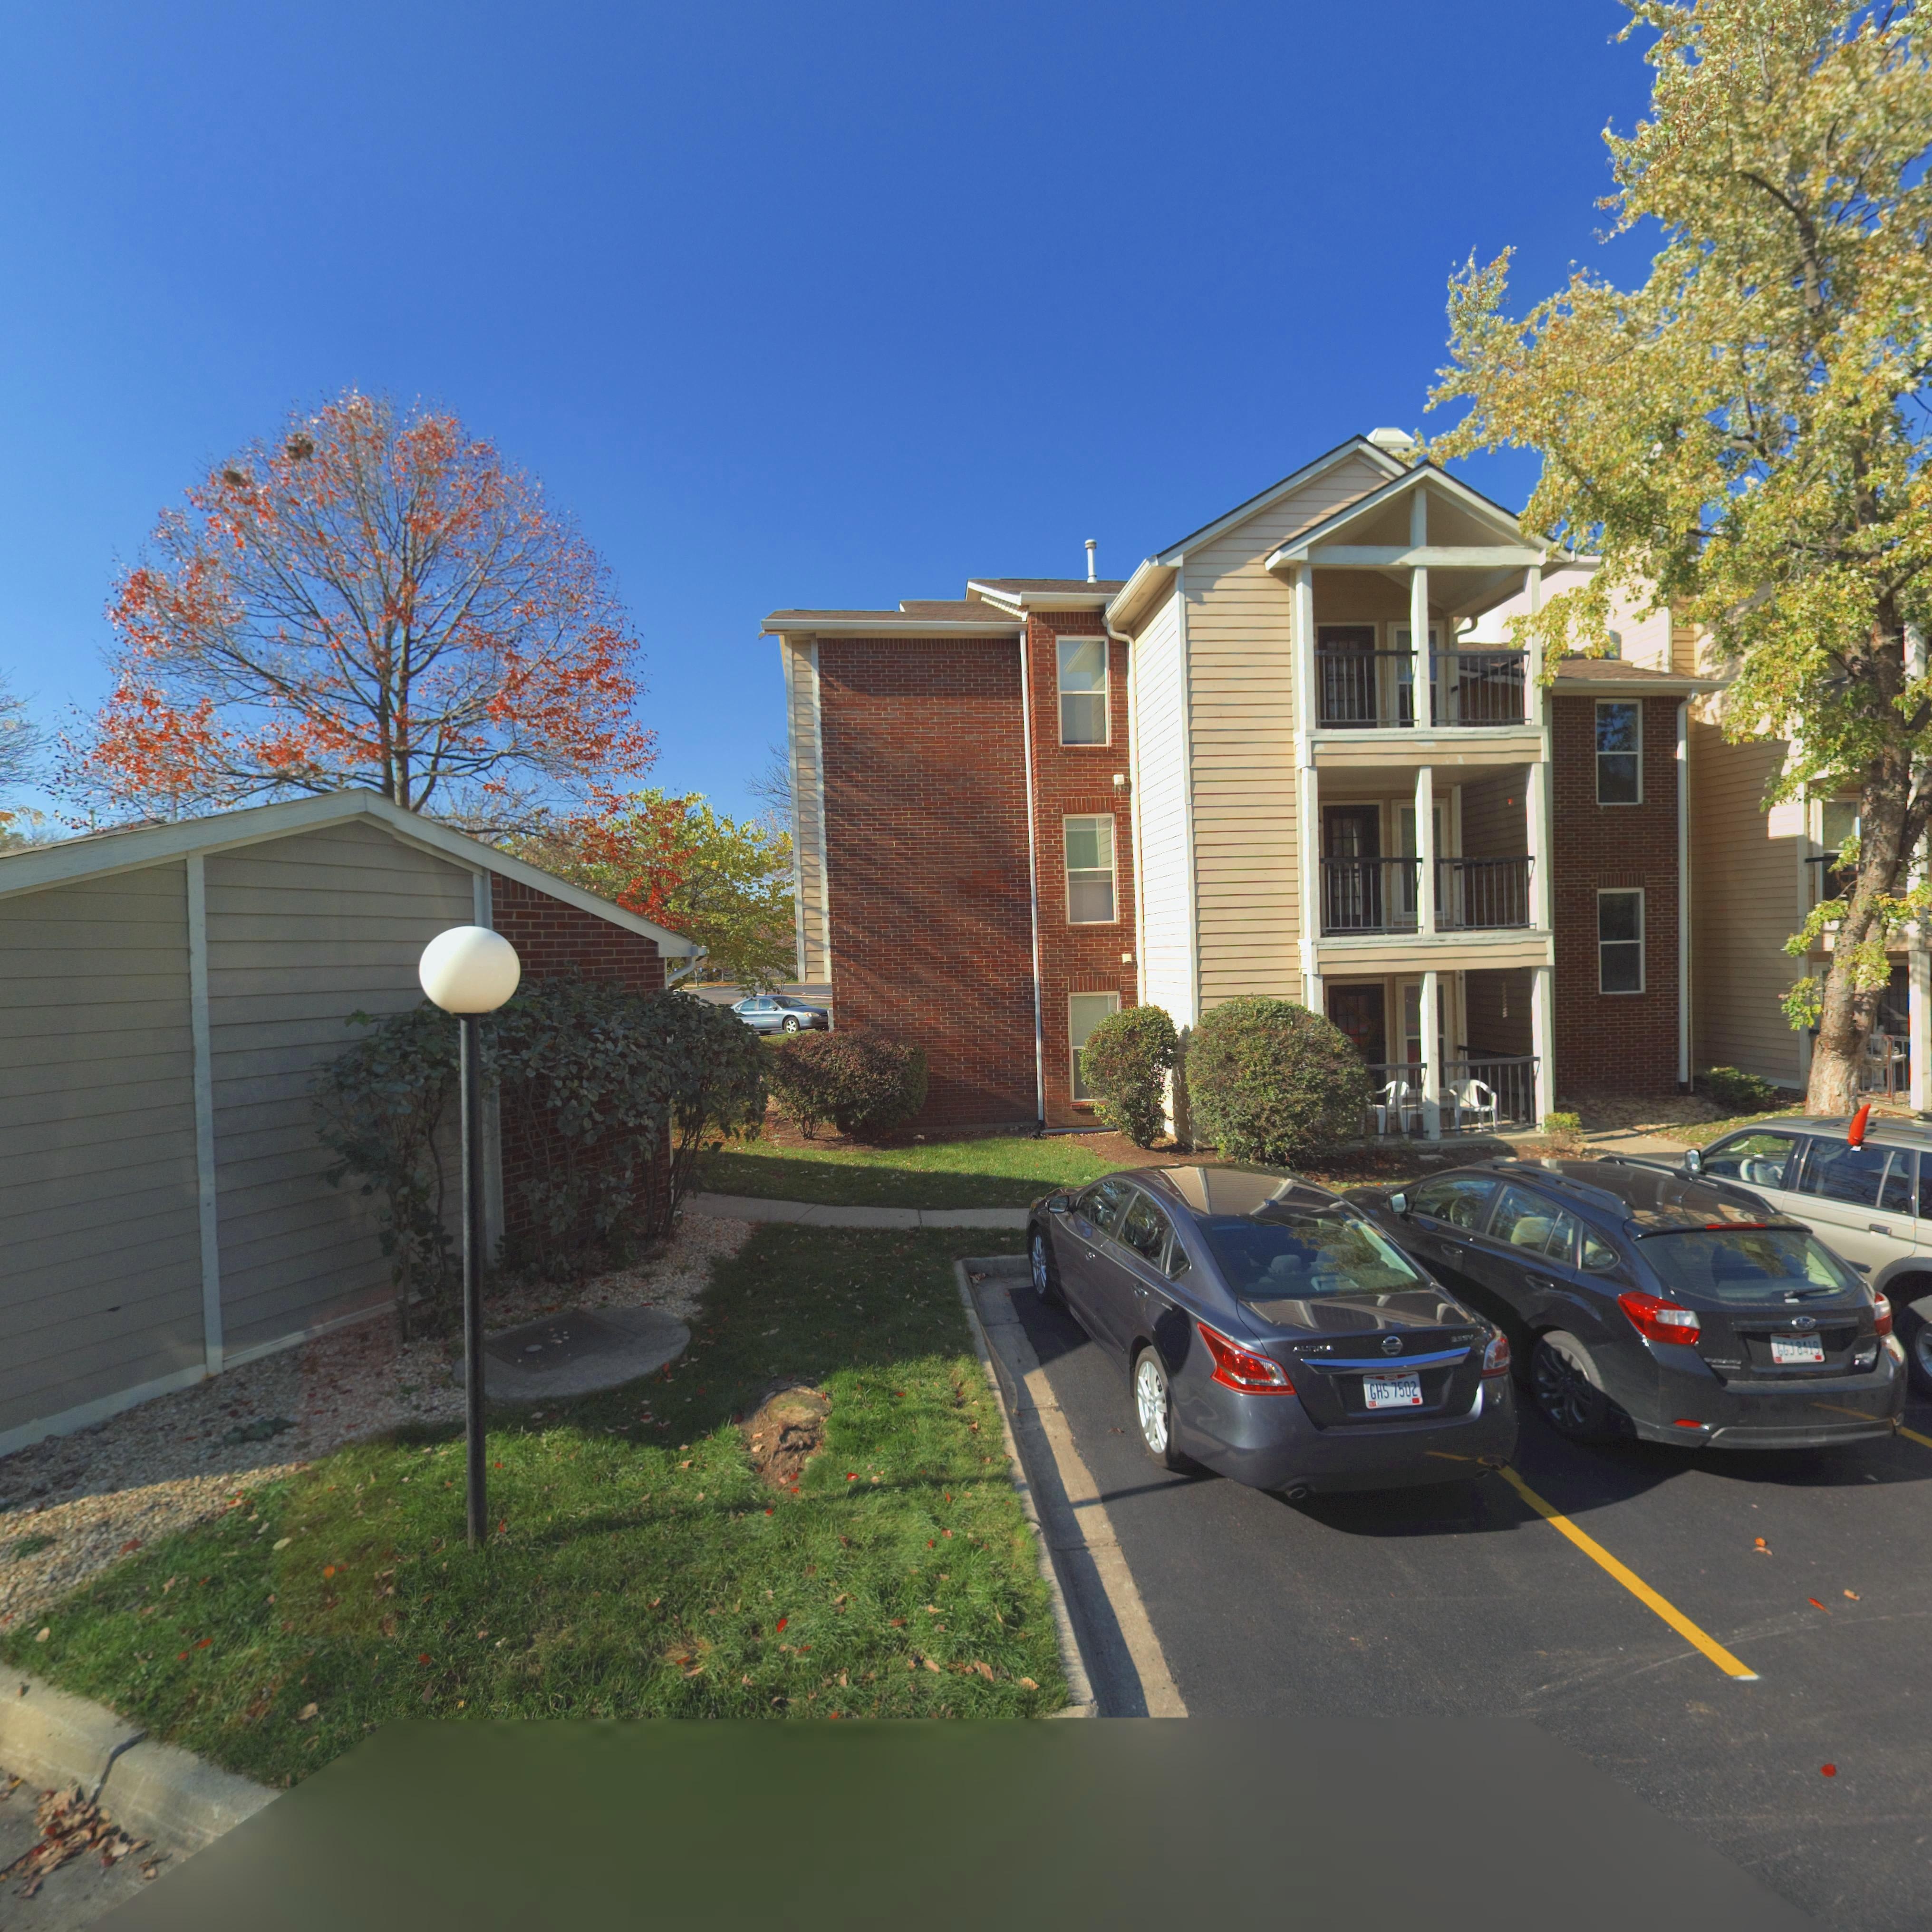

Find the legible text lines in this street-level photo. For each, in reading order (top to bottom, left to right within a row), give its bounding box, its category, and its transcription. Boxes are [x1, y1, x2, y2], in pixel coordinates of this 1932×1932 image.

[1775, 1339, 1821, 1358] None: GGJ 8419
[1369, 1379, 1419, 1401] None: GHS 7502